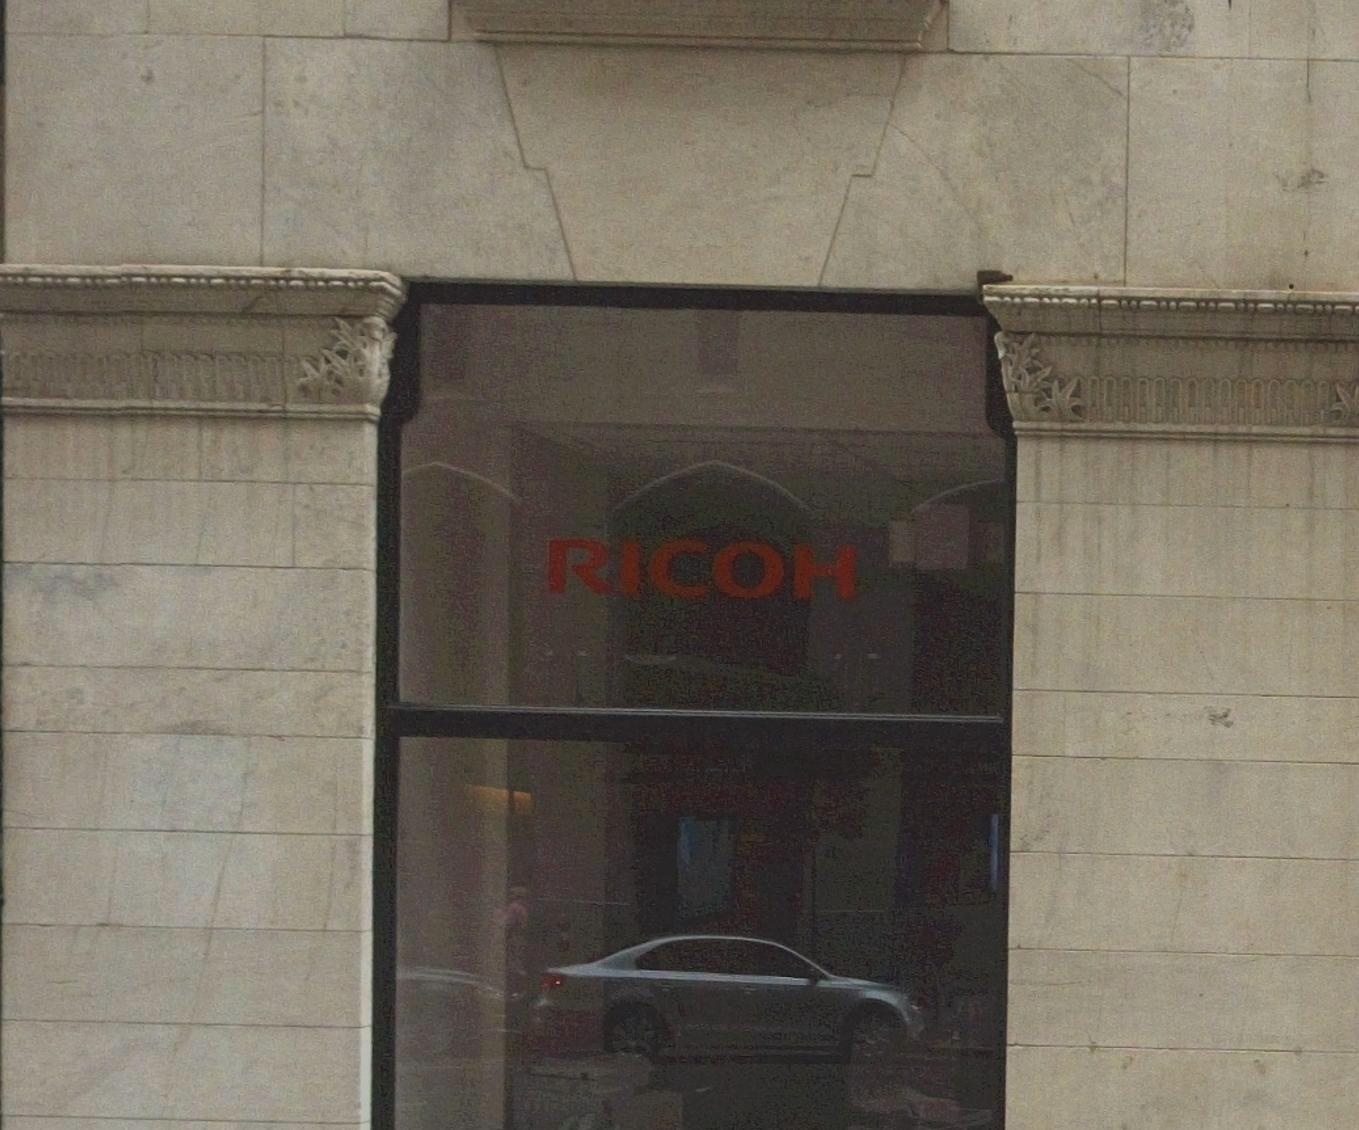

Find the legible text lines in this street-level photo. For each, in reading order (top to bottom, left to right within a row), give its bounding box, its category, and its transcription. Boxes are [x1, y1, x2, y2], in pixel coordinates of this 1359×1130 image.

[544, 535, 859, 601] BusinessName: RICOH